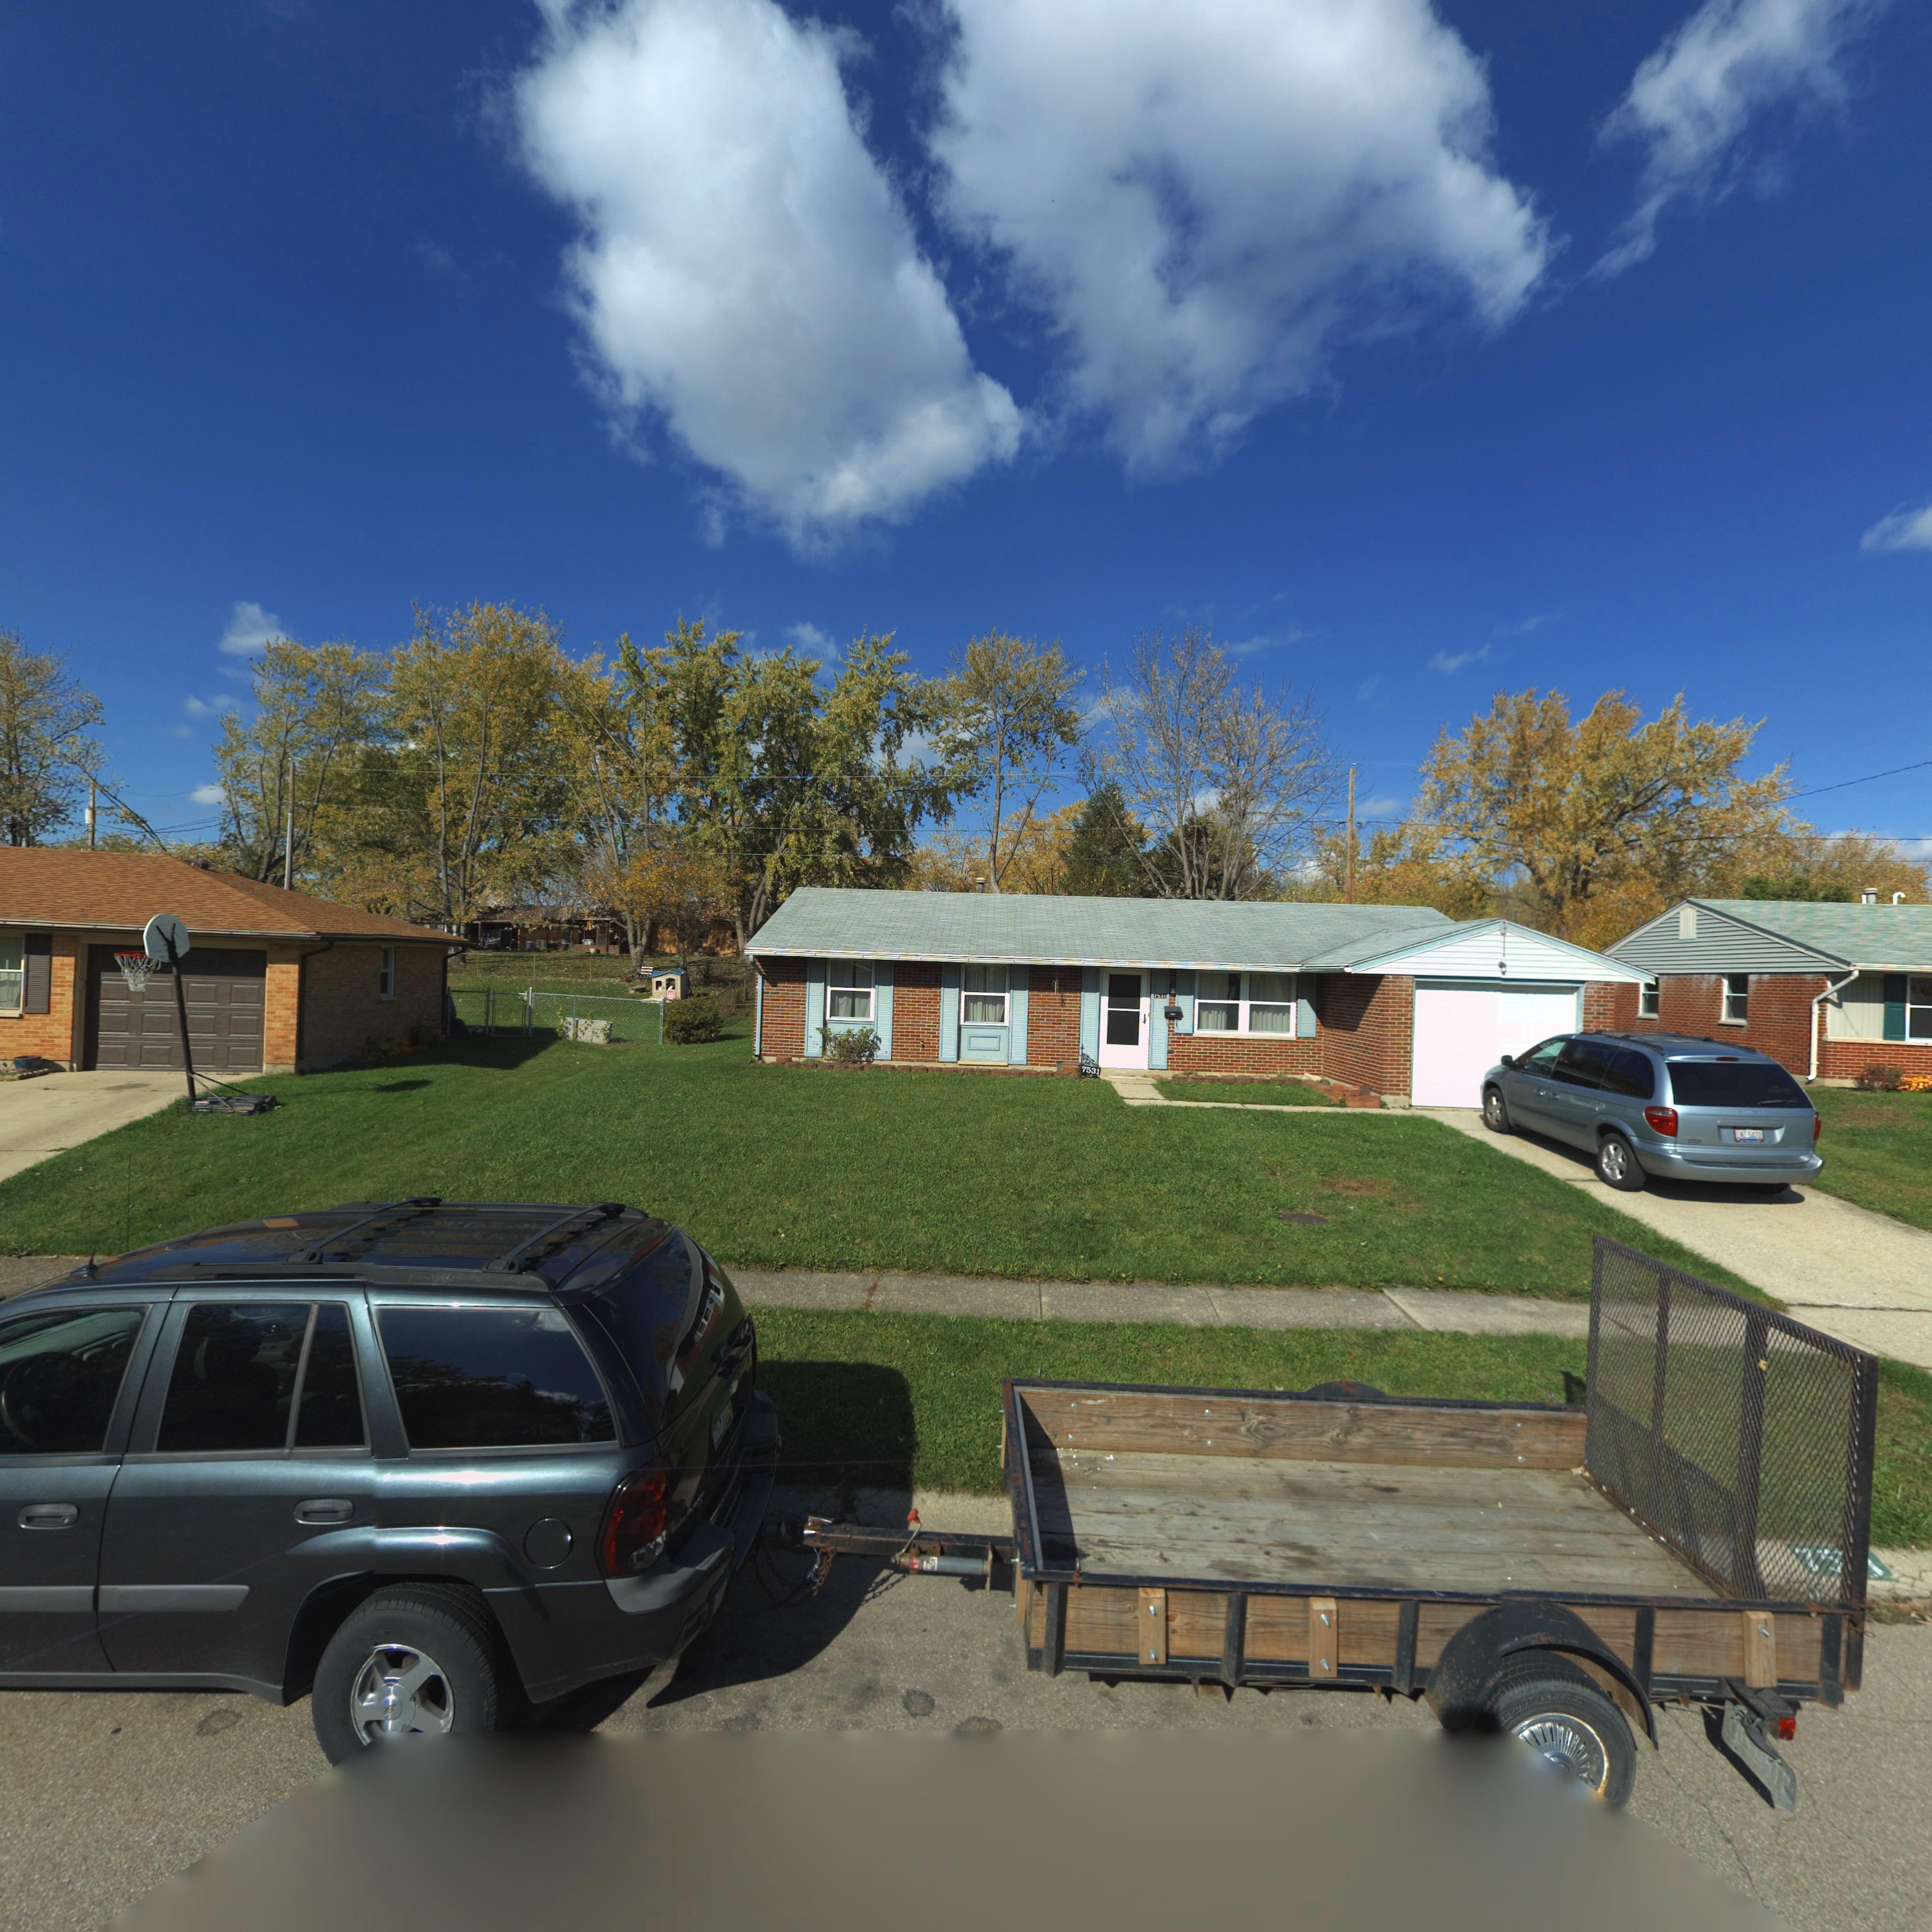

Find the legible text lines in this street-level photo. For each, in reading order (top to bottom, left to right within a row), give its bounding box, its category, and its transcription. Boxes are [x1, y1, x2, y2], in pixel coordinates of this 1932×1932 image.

[1154, 993, 1166, 998] StreetNumber: 7531
[1082, 1065, 1100, 1075] StreetNumber: 7531